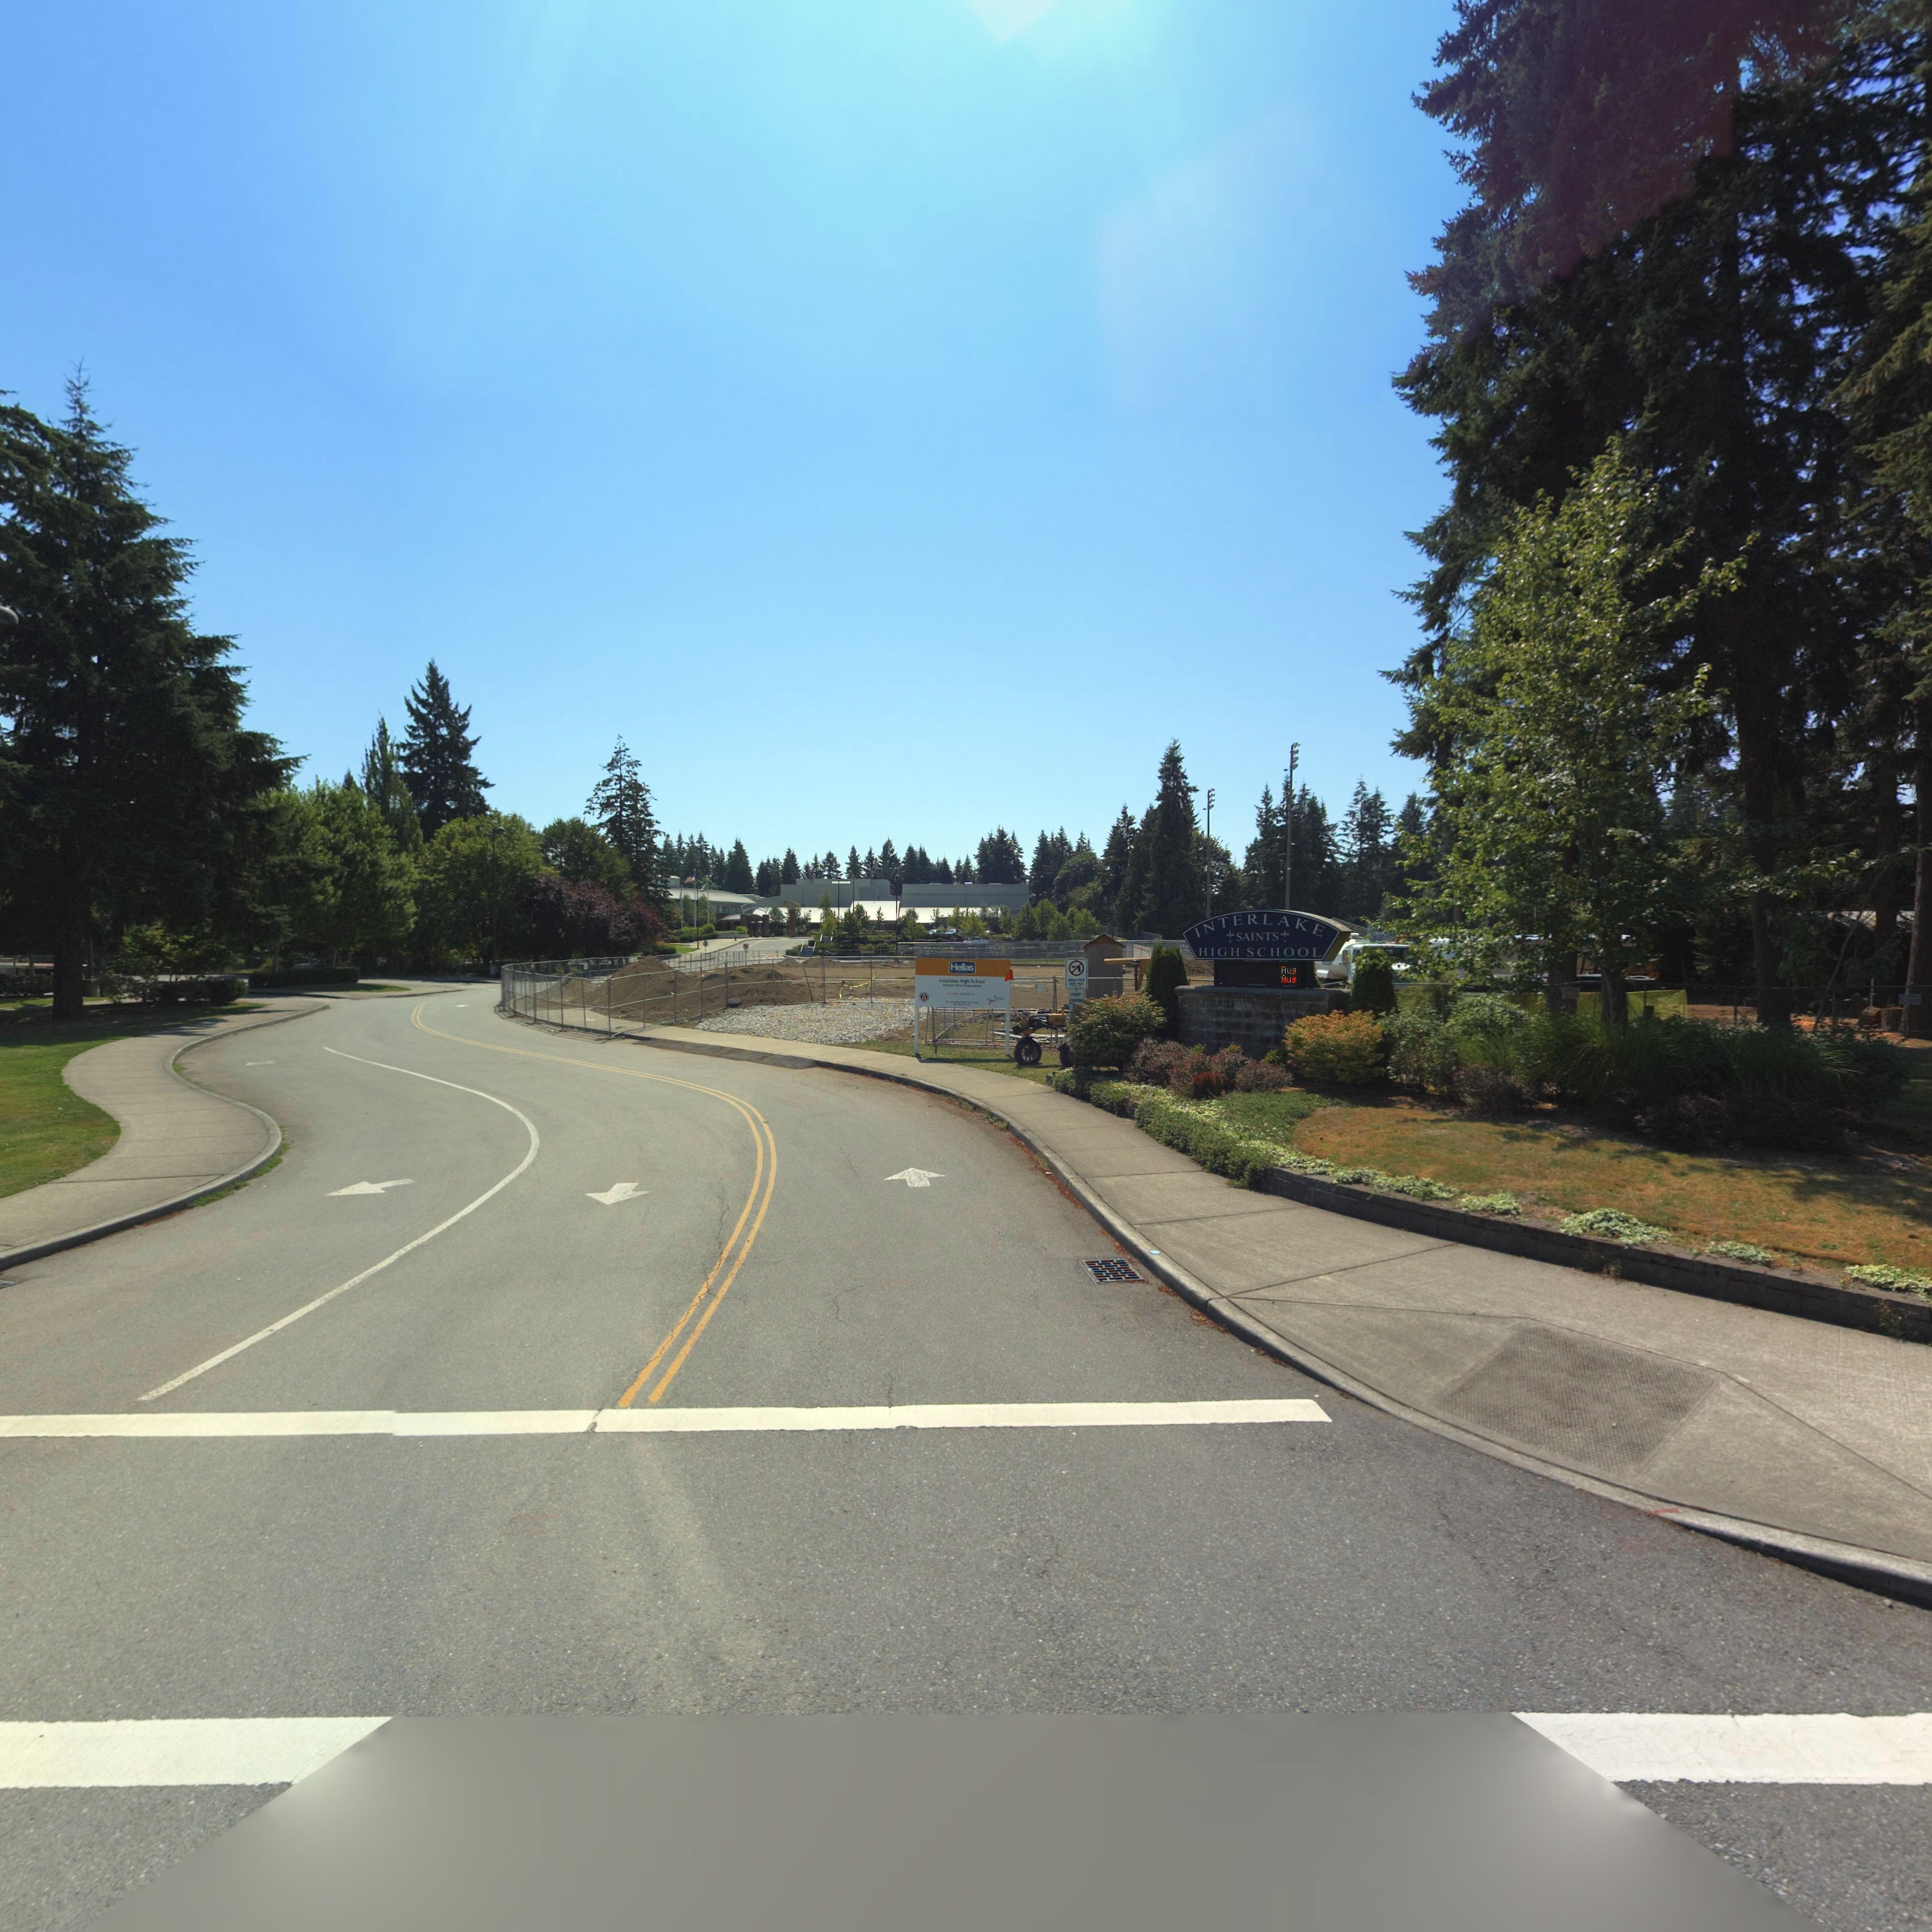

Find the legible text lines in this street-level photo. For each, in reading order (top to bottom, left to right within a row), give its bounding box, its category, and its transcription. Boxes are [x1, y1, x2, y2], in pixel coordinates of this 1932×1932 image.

[1193, 913, 1327, 937] BusinessName: INTERLAKE
[1236, 931, 1279, 941] BusinessName: SAINTS
[1199, 947, 1320, 956] BusinessName: HIGH SCHOOL